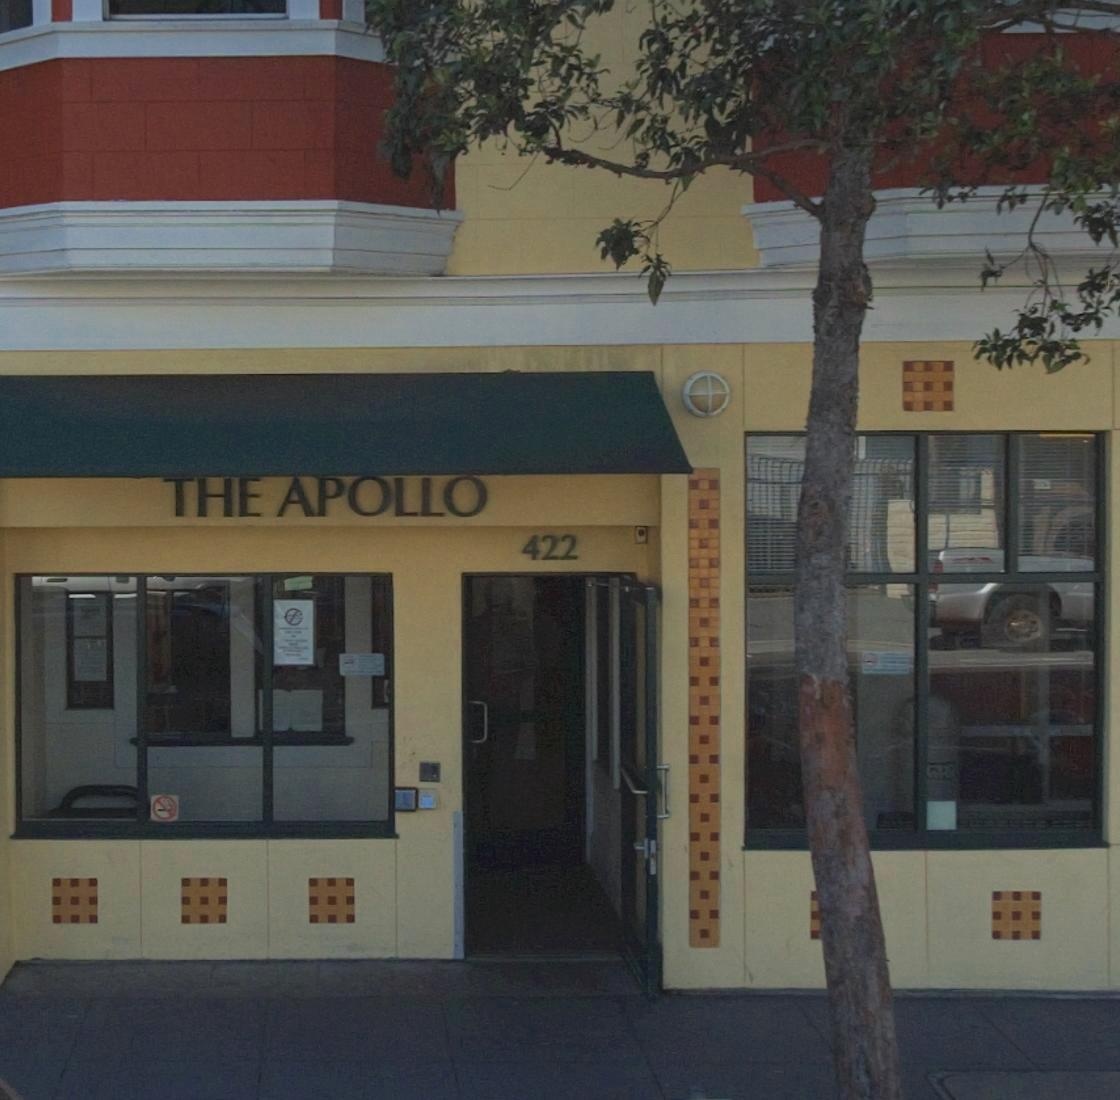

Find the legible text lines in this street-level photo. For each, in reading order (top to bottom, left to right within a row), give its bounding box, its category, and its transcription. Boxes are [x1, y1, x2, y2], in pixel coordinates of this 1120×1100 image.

[161, 474, 489, 518] BusinessName: THE APOLLO
[521, 533, 580, 562] StreetNumber: 422